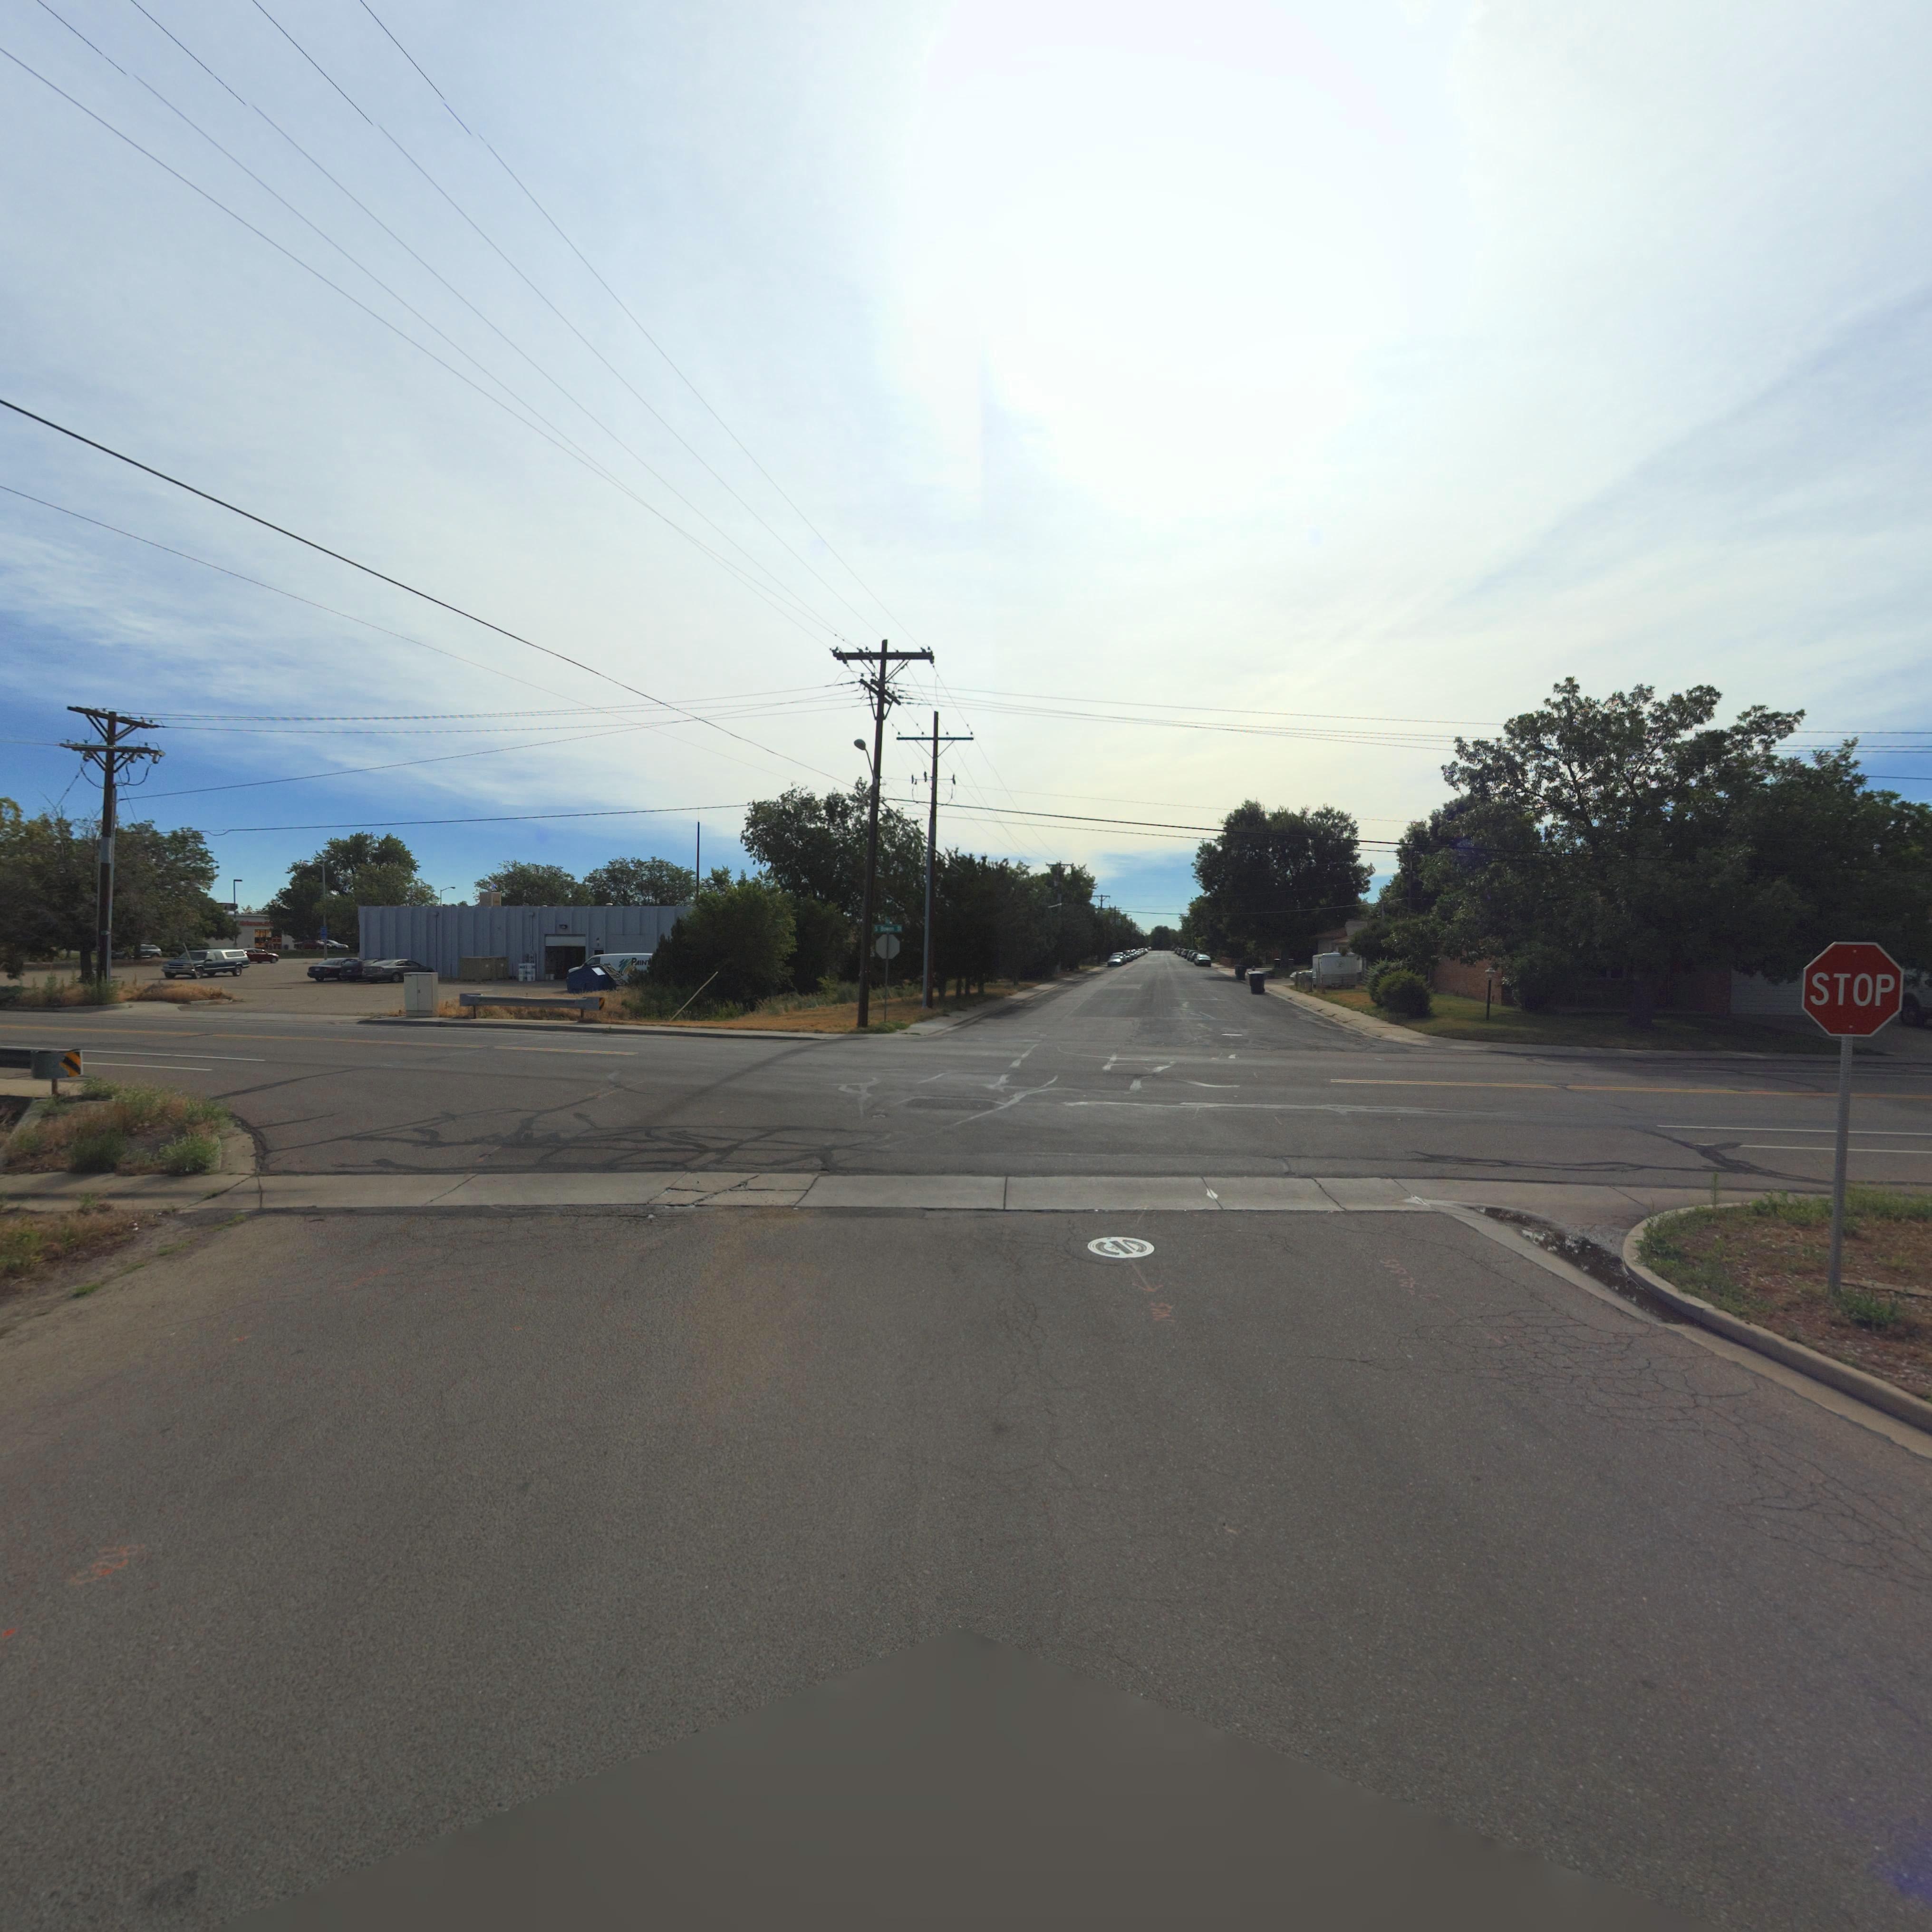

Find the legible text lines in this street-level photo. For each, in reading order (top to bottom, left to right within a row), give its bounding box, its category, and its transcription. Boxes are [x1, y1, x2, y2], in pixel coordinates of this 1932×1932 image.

[874, 926, 901, 932] StreetName: S Bowen St
[1810, 973, 1894, 1006] BusinessName: STOP